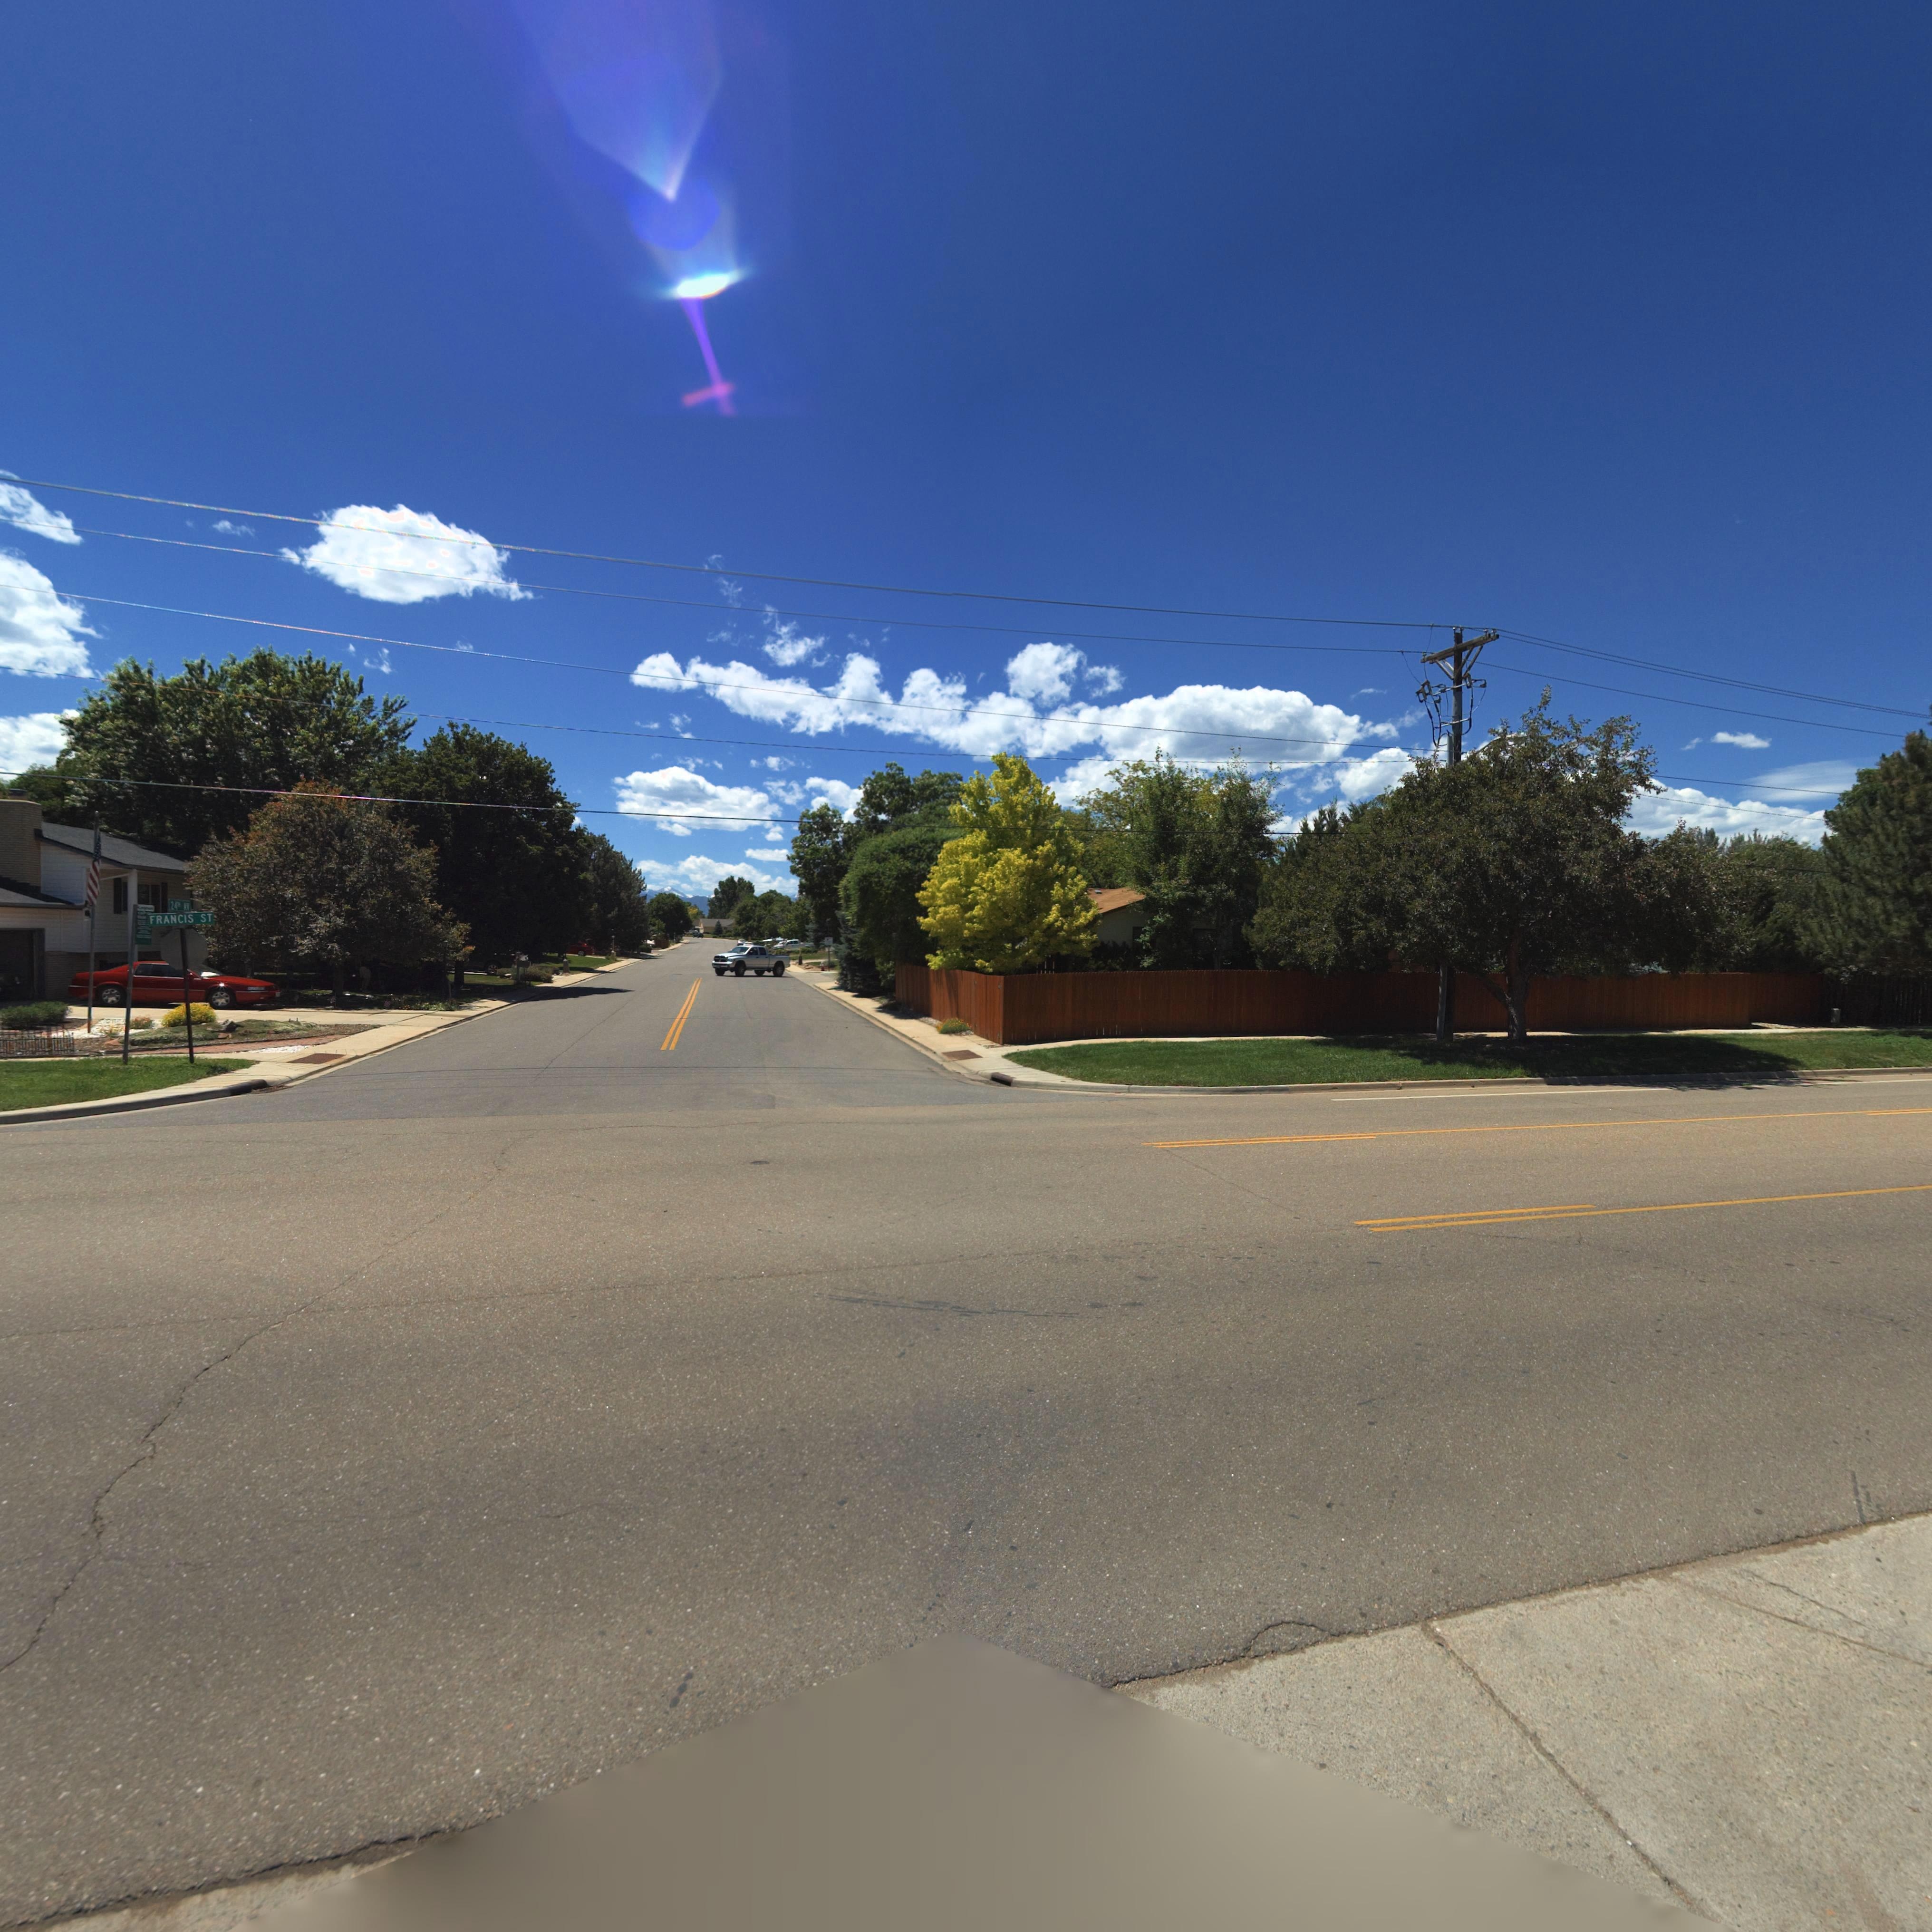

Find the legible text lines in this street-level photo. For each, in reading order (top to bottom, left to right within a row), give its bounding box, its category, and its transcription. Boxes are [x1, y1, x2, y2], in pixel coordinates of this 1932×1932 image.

[170, 900, 190, 911] StreetName: 24TH AV
[149, 913, 213, 925] StreetName: FRANCIS ST